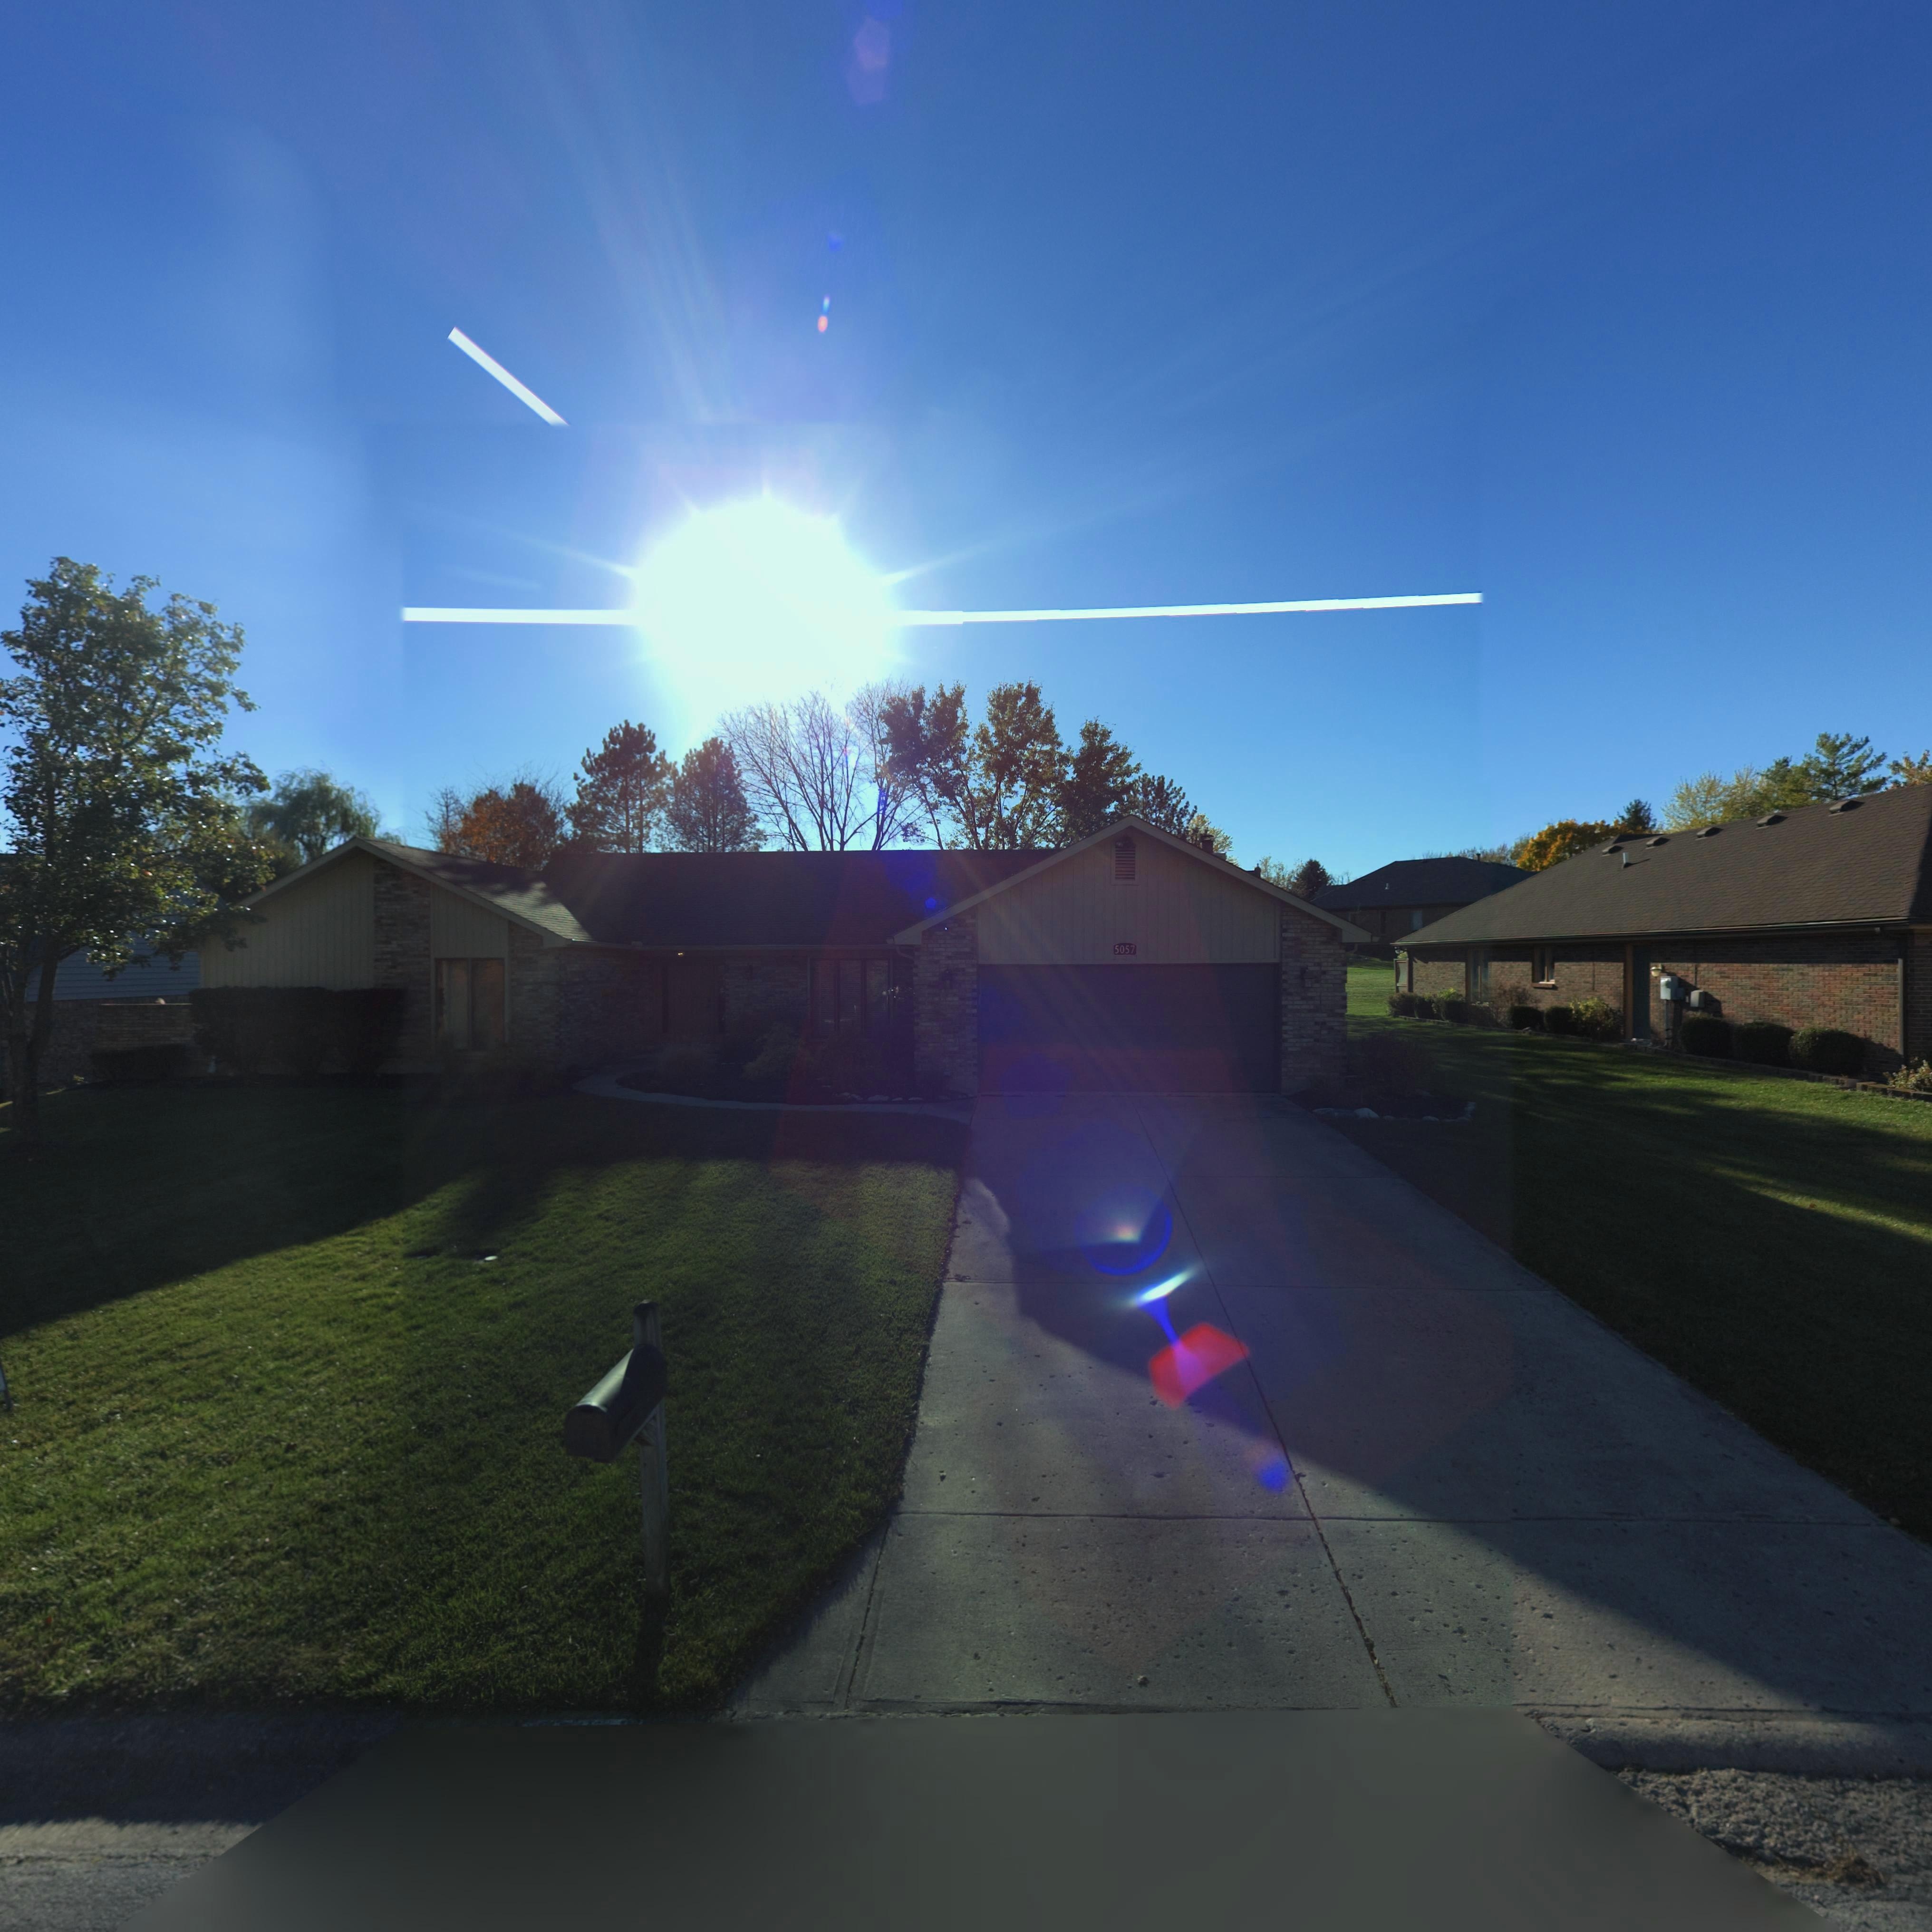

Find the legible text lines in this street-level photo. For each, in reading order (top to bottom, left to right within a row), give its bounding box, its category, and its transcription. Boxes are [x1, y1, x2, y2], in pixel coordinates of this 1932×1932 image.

[1114, 945, 1136, 954] StreetNumber: 5057